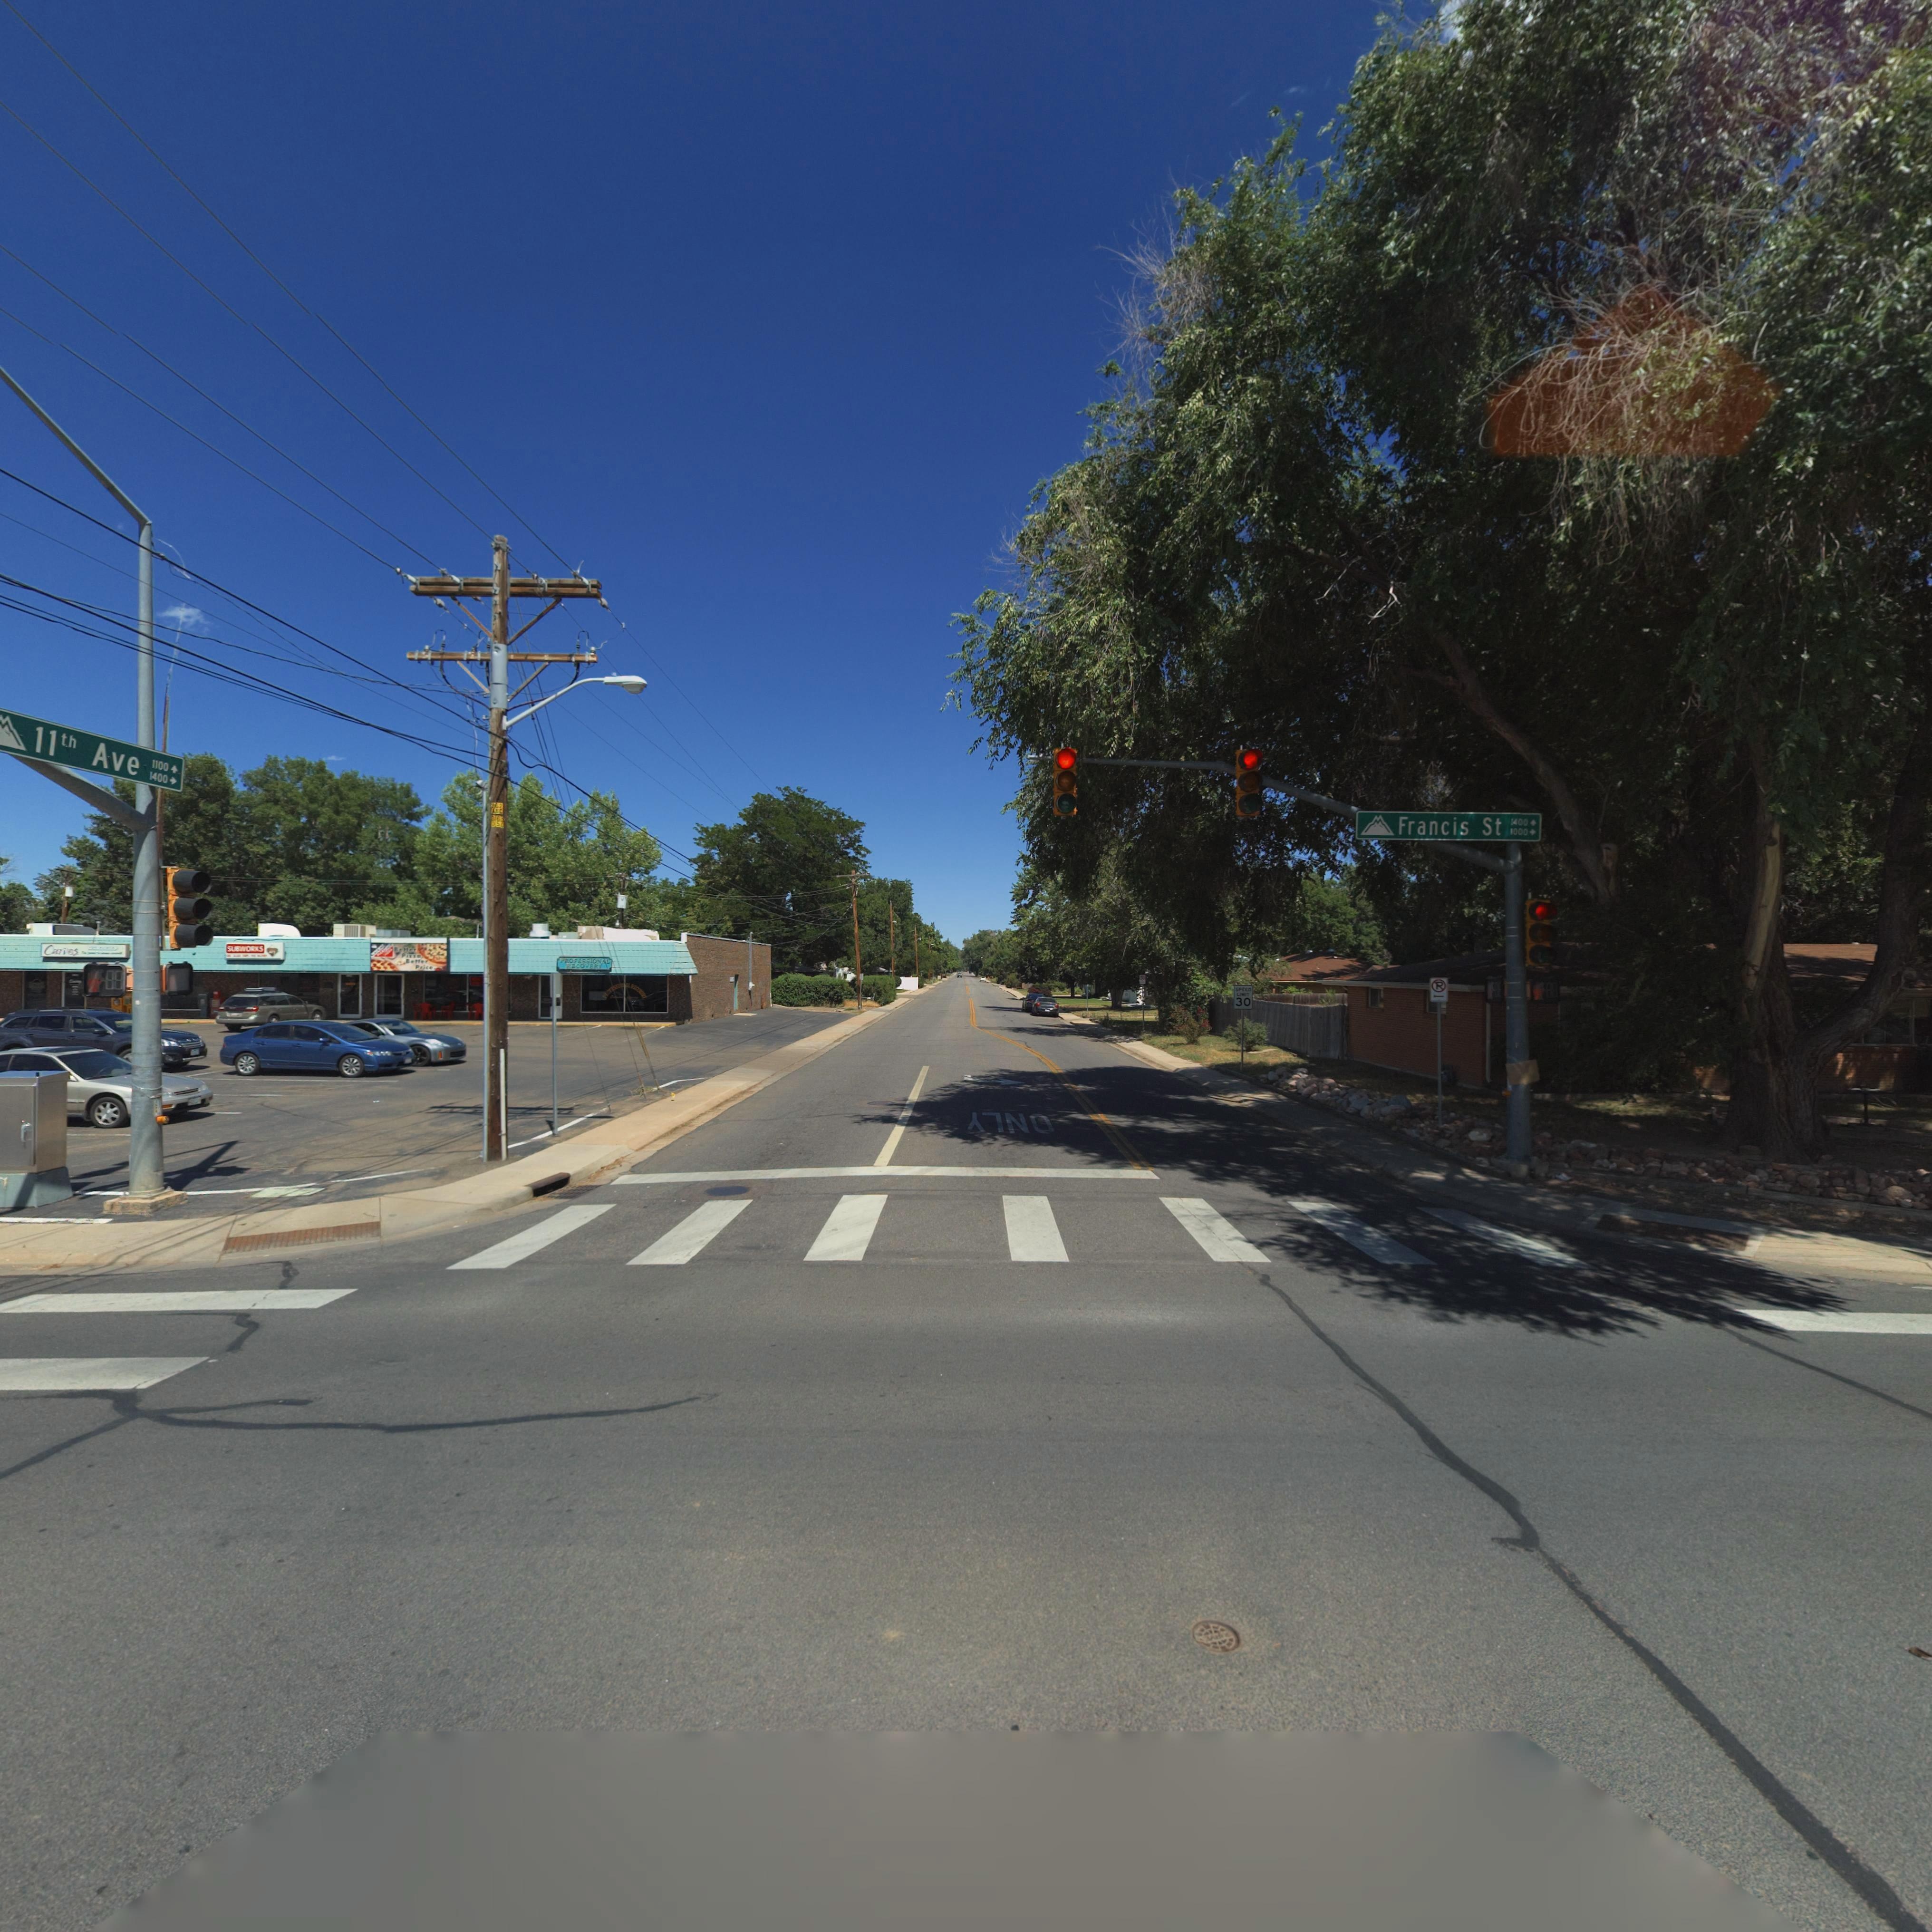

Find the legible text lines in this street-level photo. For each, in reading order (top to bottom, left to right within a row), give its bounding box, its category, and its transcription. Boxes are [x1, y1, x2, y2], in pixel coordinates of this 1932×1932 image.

[35, 725, 140, 776] StreetName: 11th Ave
[151, 759, 169, 772] StreetNumberRange: 1100
[149, 770, 178, 785] StreetNumberRange: 1400 ->
[1398, 816, 1502, 837] StreetName: Francis St
[1510, 818, 1528, 826] StreetNumberRange: 1400
[1510, 828, 1536, 836] StreetNumberRange: 1000 ->
[43, 944, 78, 956] BusinessName: C**ves
[227, 945, 263, 952] BusinessName: SUBWORKS
[566, 963, 602, 969] BusinessName: RECOVERY
[560, 957, 610, 964] BusinessName: PROFESSIONAL
[601, 982, 647, 1000] BusinessName: PRO********* REC***RY